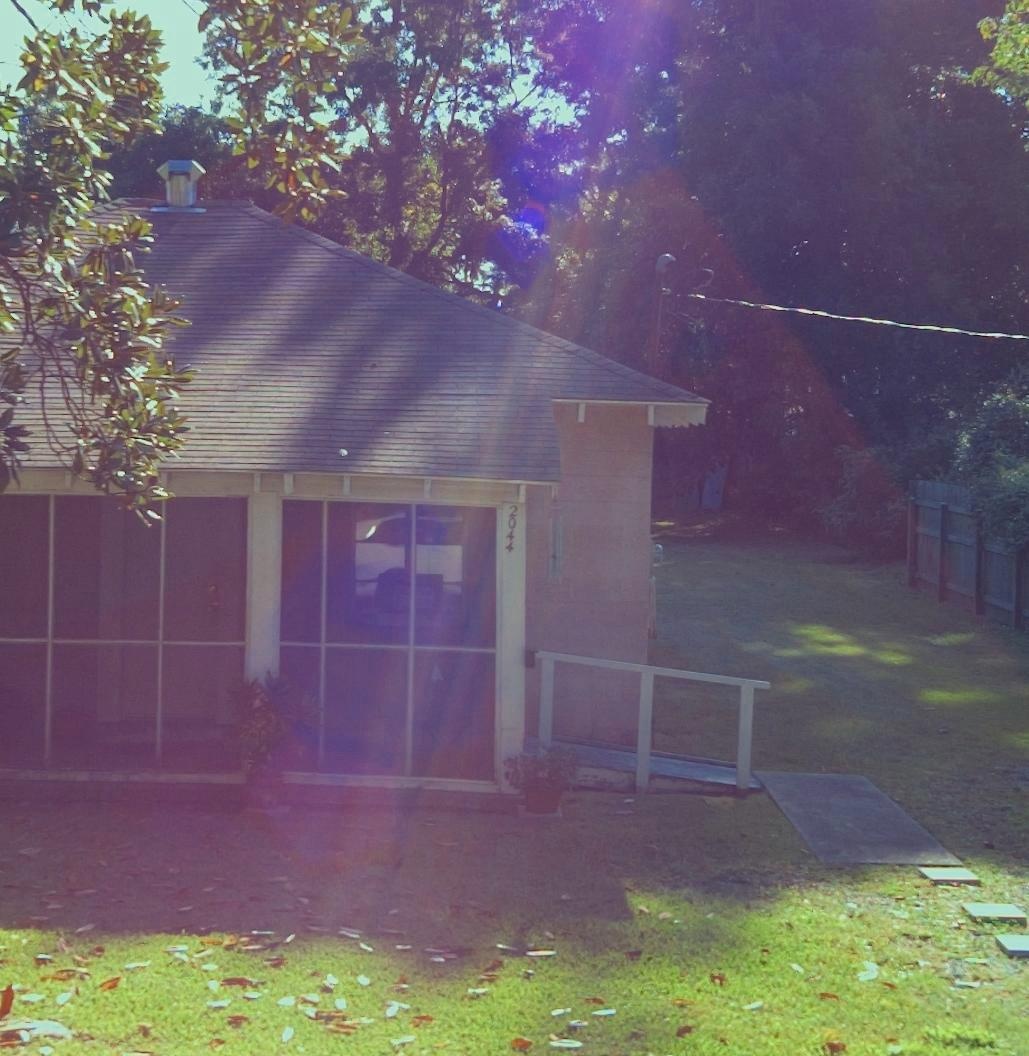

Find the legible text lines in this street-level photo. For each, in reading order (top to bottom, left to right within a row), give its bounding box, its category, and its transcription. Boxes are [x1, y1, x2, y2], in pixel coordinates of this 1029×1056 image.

[503, 502, 522, 556] StreetNumber: 2044